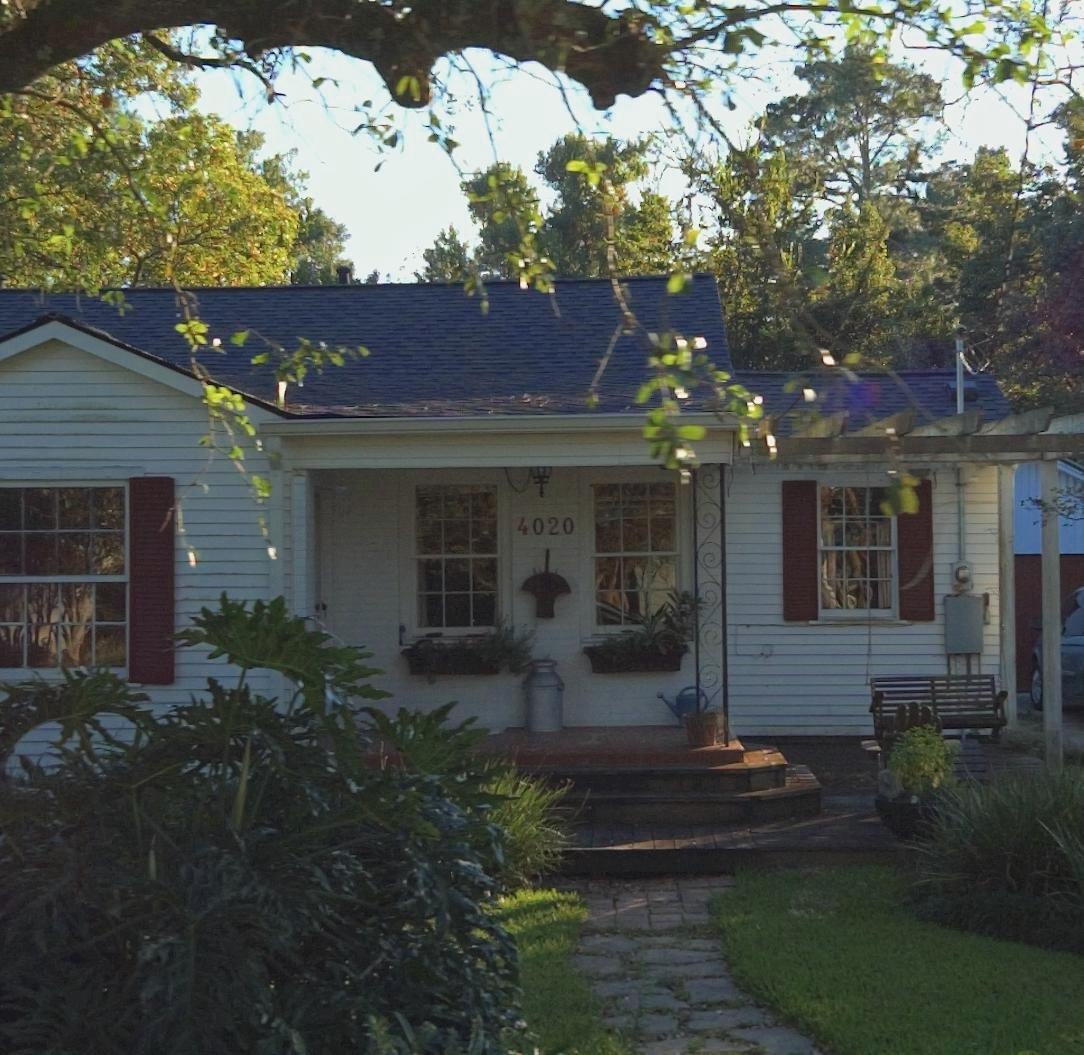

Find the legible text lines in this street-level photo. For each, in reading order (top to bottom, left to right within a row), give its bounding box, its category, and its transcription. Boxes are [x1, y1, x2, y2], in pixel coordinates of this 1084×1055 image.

[516, 515, 576, 537] StreetNumber: 4020